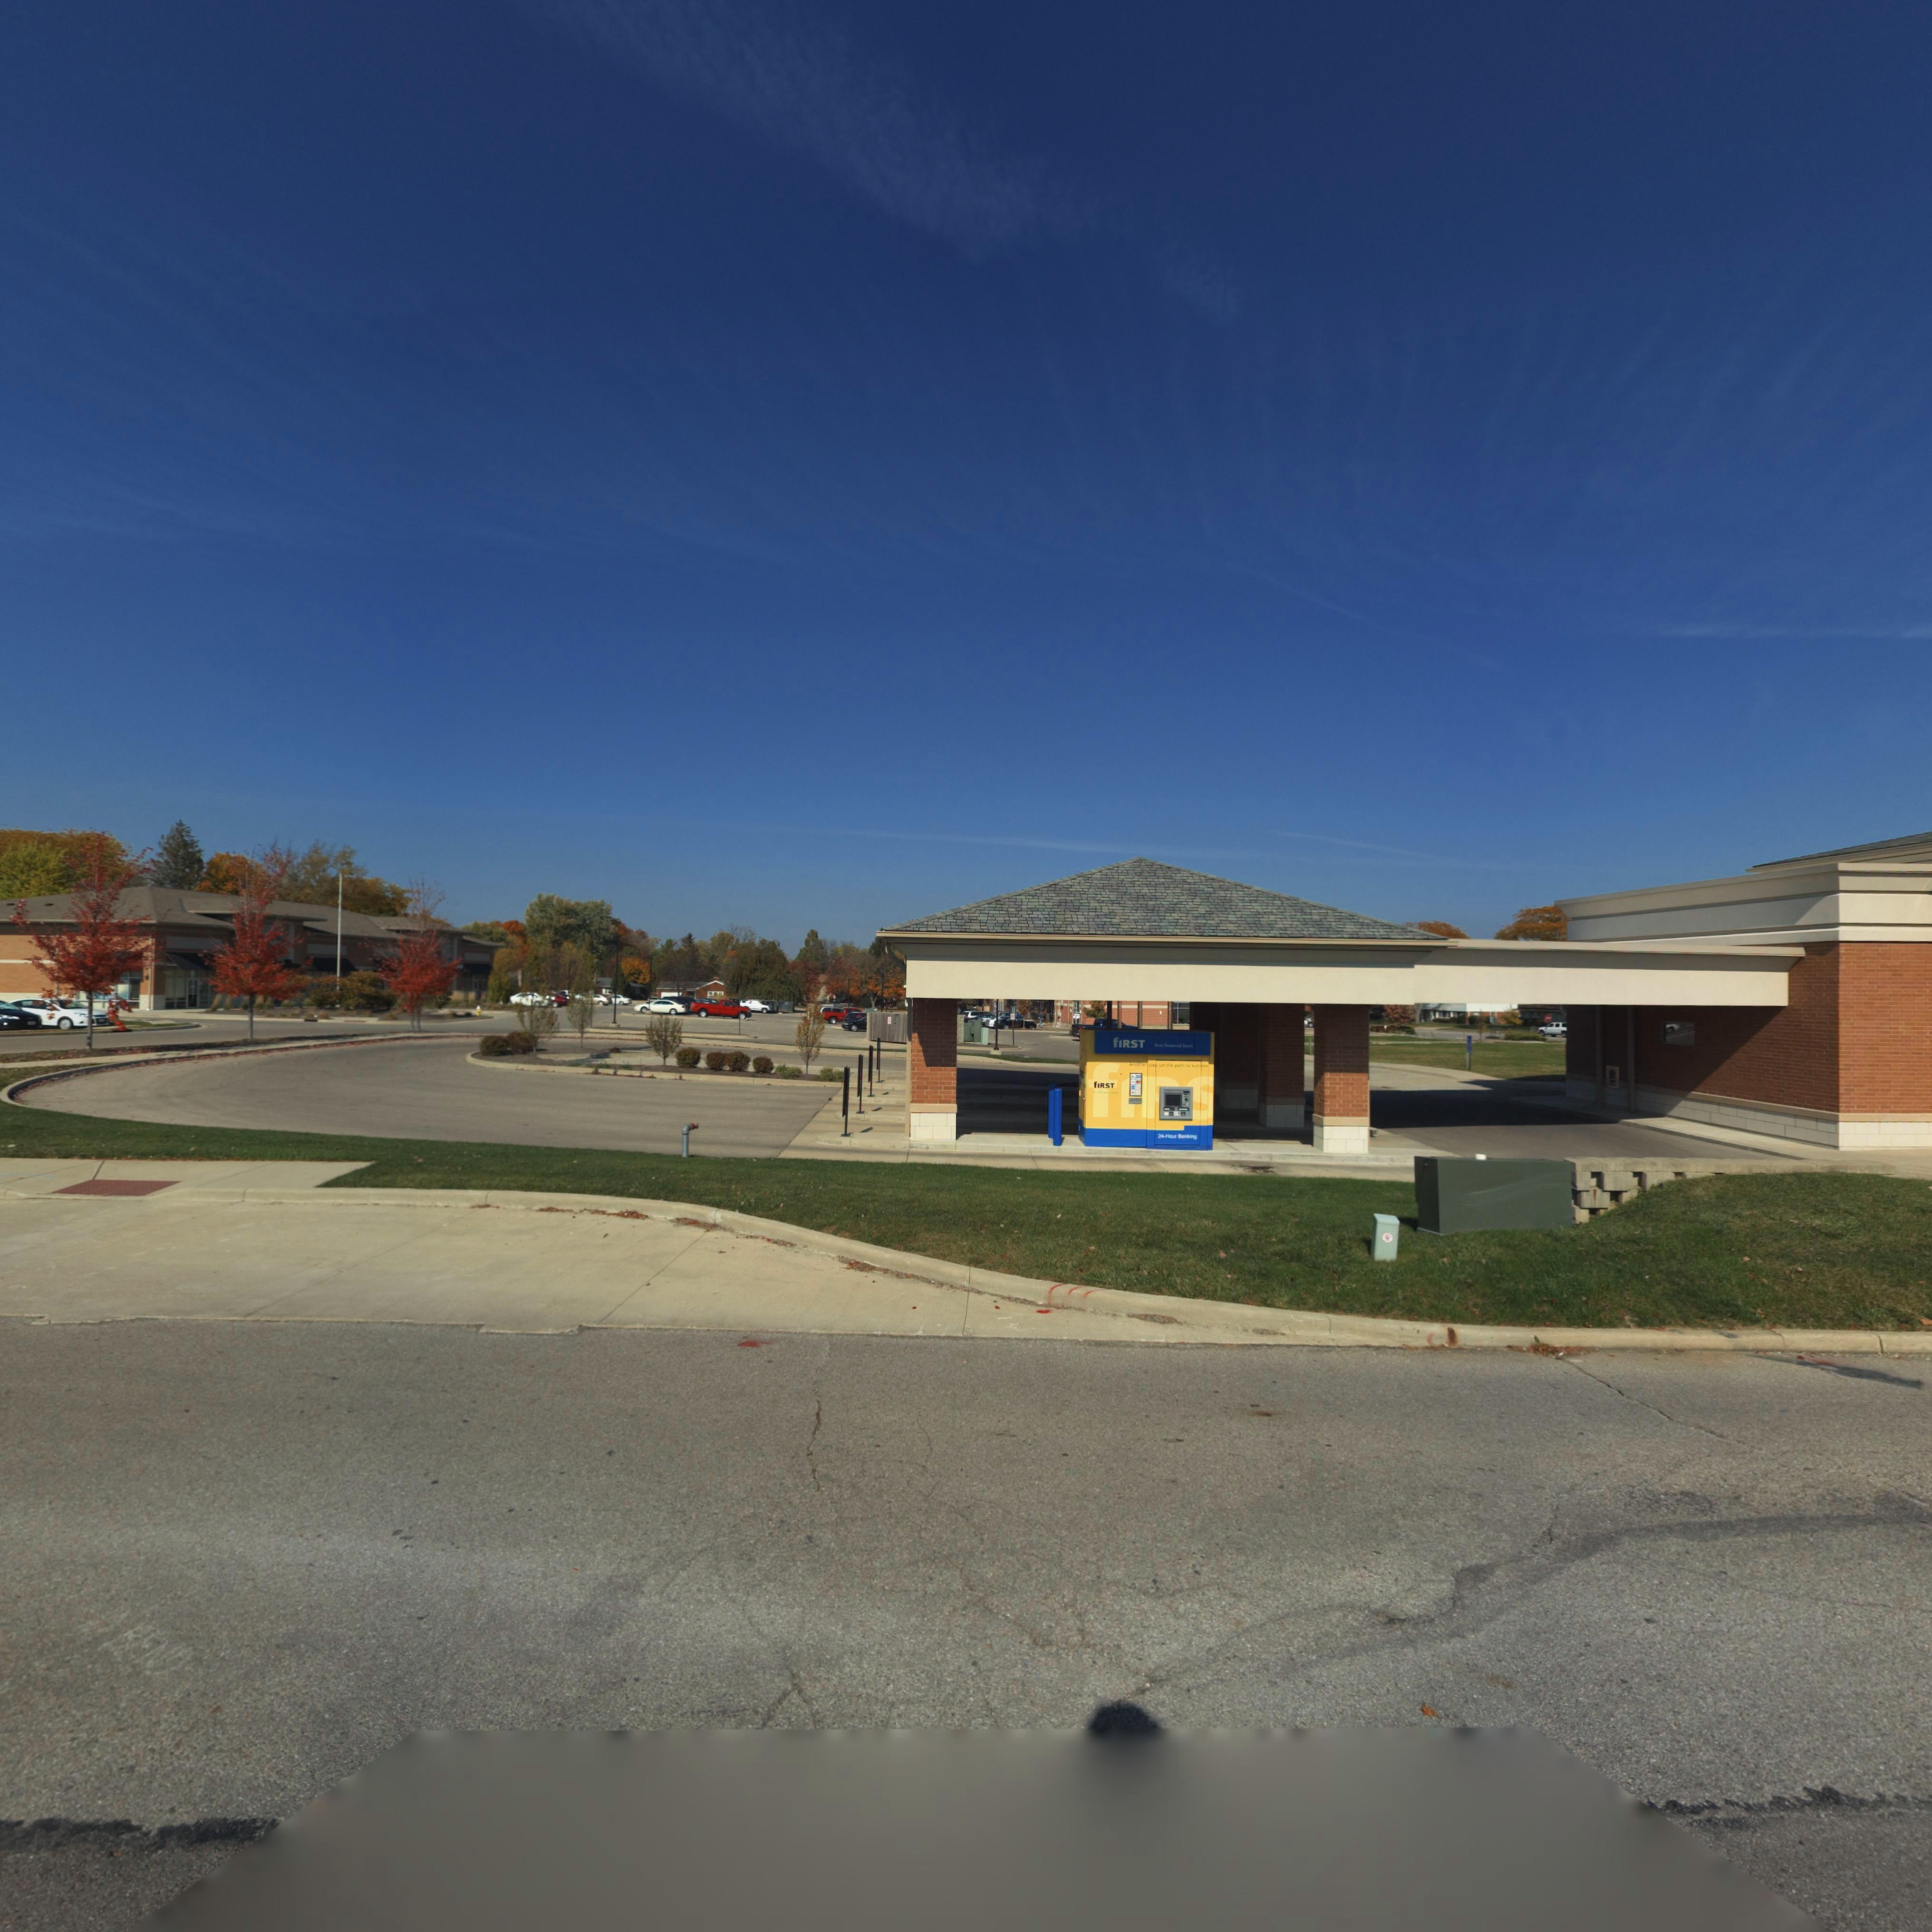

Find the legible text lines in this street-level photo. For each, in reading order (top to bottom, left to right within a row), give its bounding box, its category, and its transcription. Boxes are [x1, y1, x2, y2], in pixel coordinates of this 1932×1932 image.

[1111, 1036, 1147, 1049] BusinessName: fIRST
[1093, 1080, 1116, 1089] BusinessName: fIRST